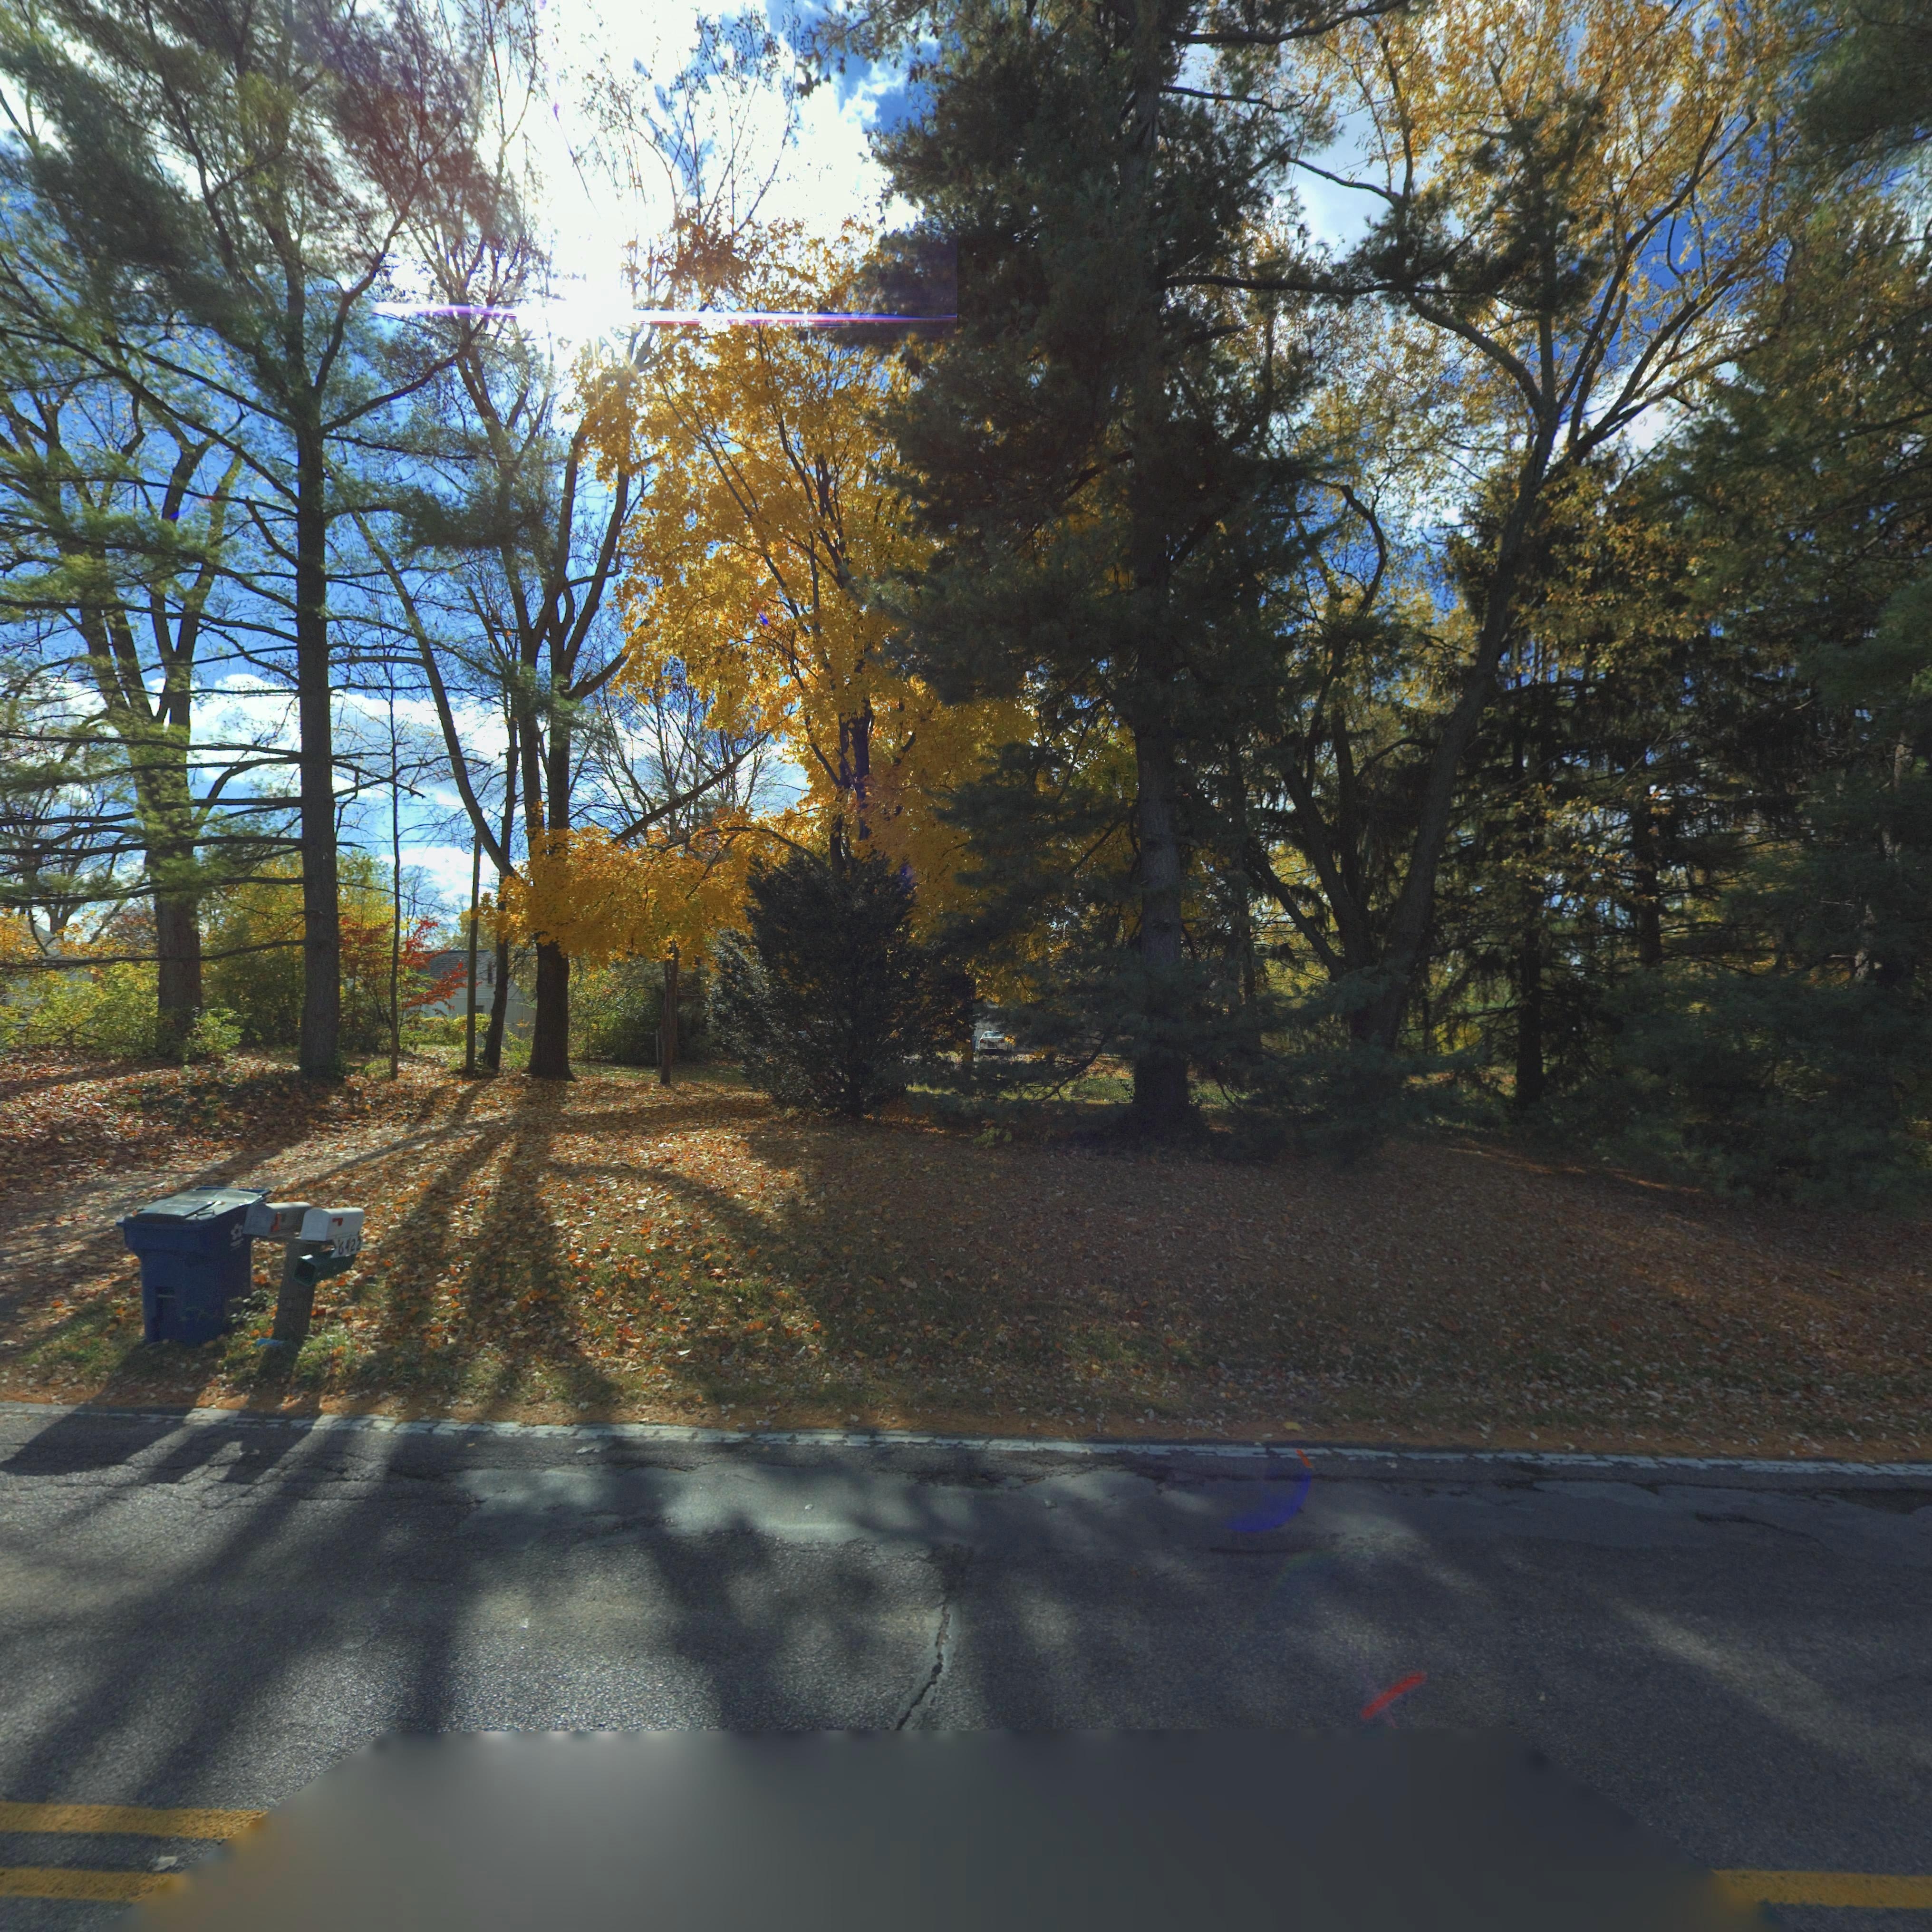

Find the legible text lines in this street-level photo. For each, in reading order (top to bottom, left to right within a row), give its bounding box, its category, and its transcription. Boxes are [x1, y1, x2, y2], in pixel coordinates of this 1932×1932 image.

[337, 1237, 362, 1256] StreetNumber: 6422